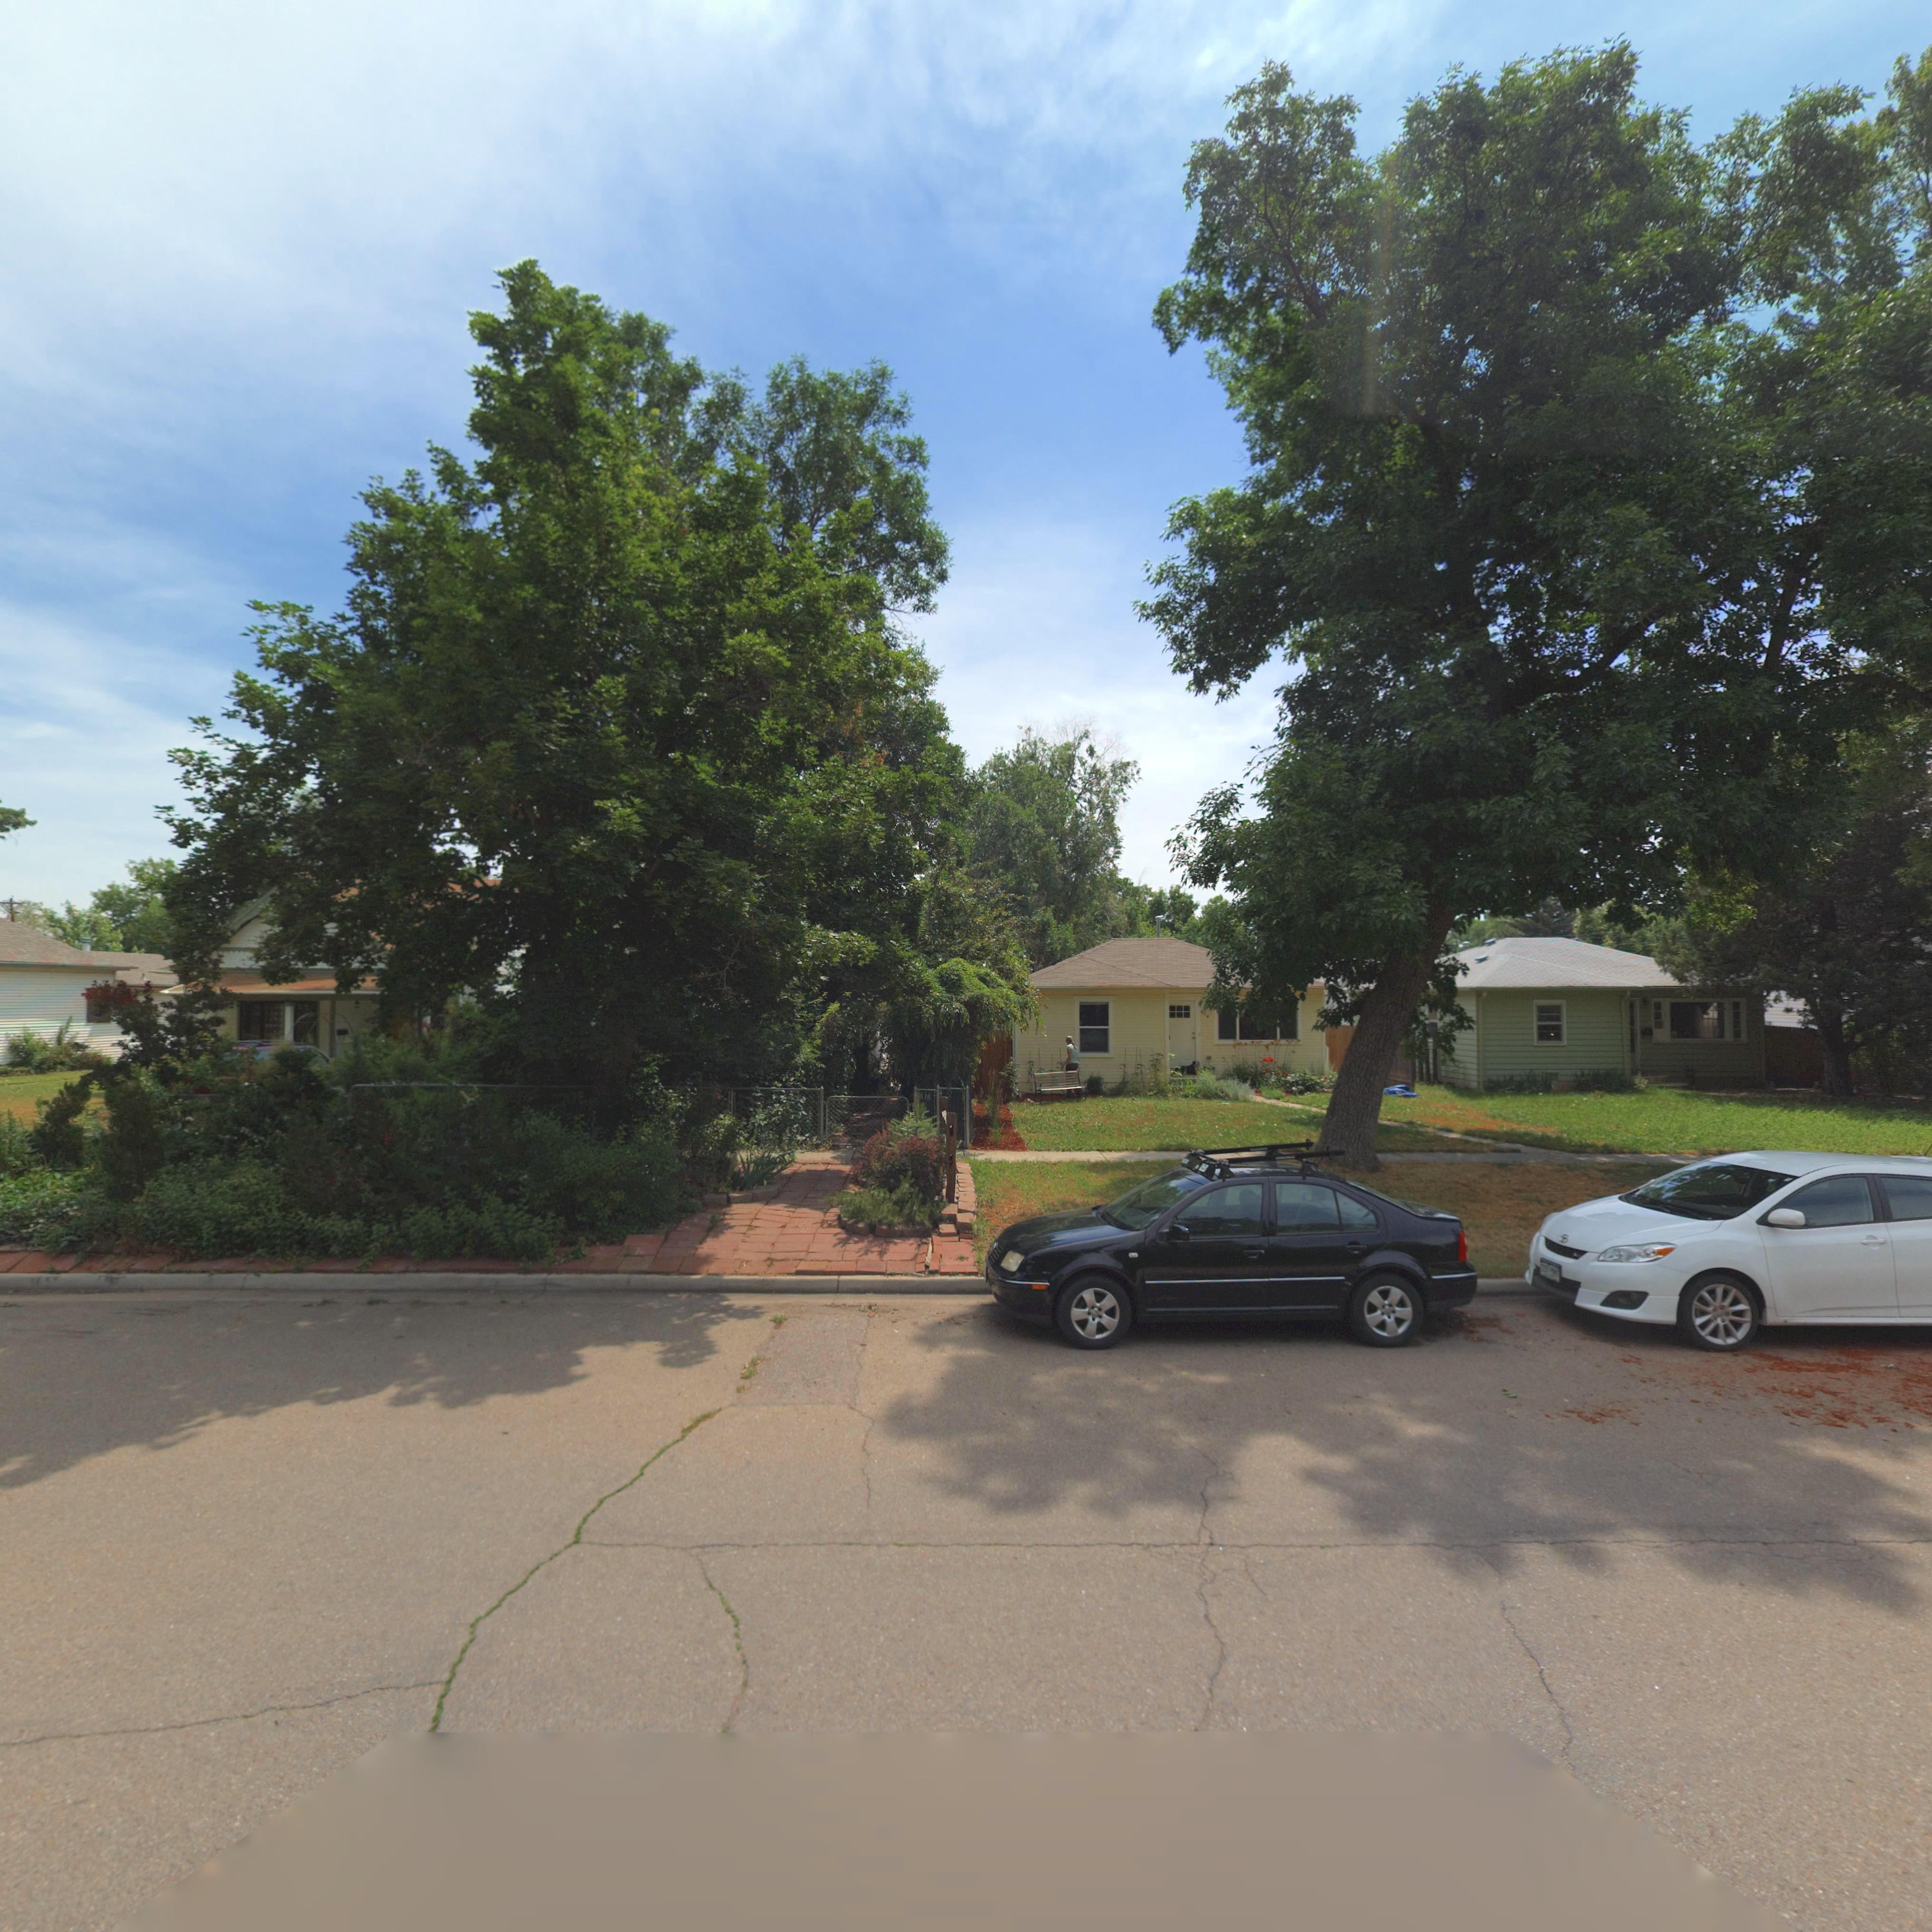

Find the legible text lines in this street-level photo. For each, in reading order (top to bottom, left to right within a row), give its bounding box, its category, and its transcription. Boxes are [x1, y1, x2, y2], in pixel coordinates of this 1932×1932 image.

[1200, 1009, 1207, 1016] StreetNumber: 81
[918, 1092, 931, 1101] StreetNumber: 818